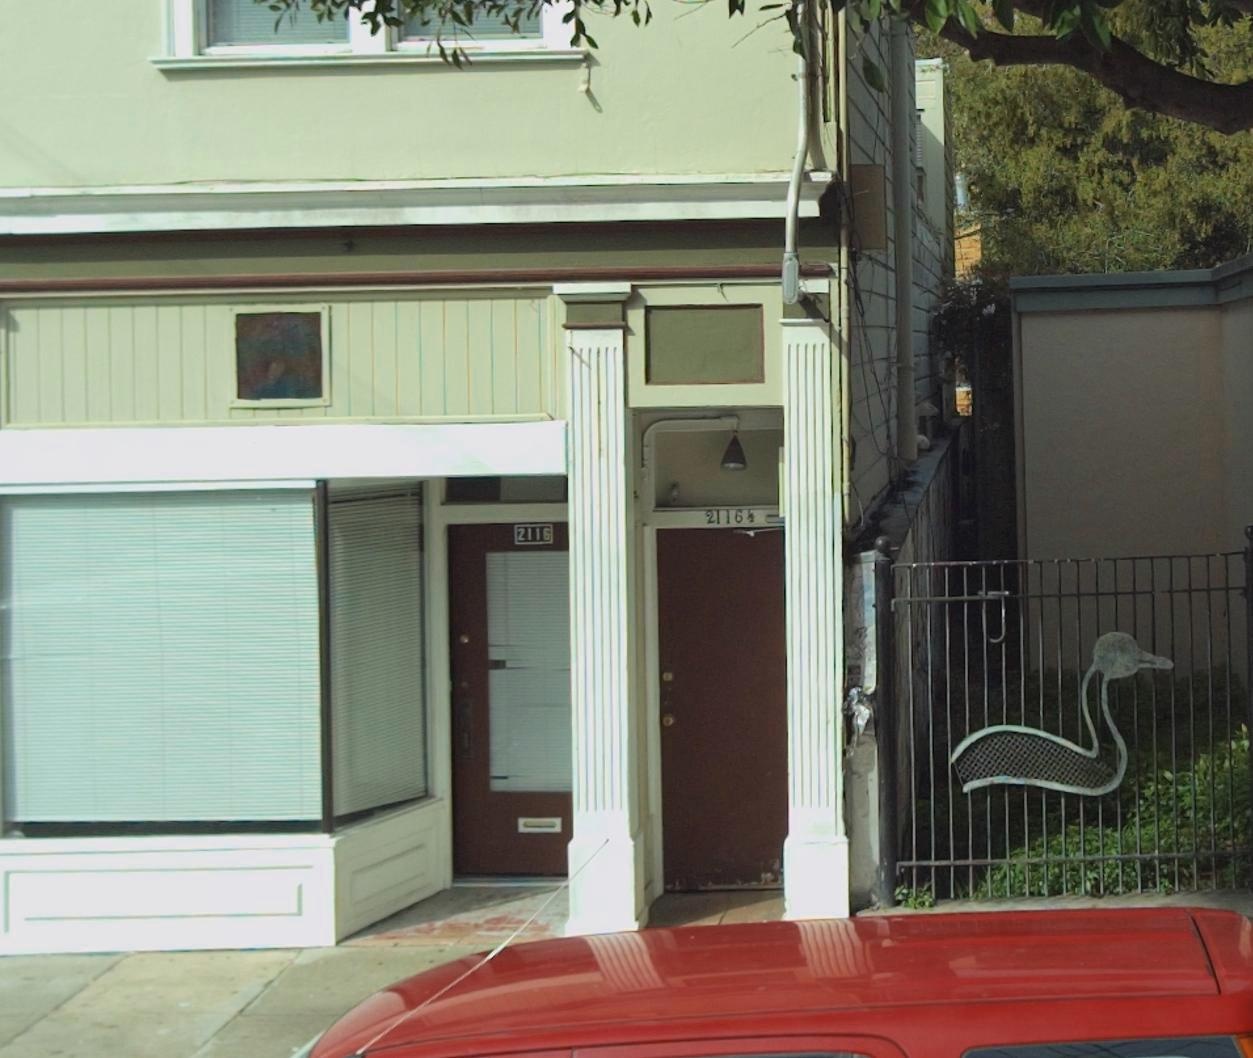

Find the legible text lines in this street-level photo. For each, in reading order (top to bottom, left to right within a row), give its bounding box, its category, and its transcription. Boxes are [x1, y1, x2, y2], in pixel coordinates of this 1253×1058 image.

[703, 506, 758, 527] StreetNumber: 2116 1/2
[515, 524, 553, 545] StreetNumber: 2116